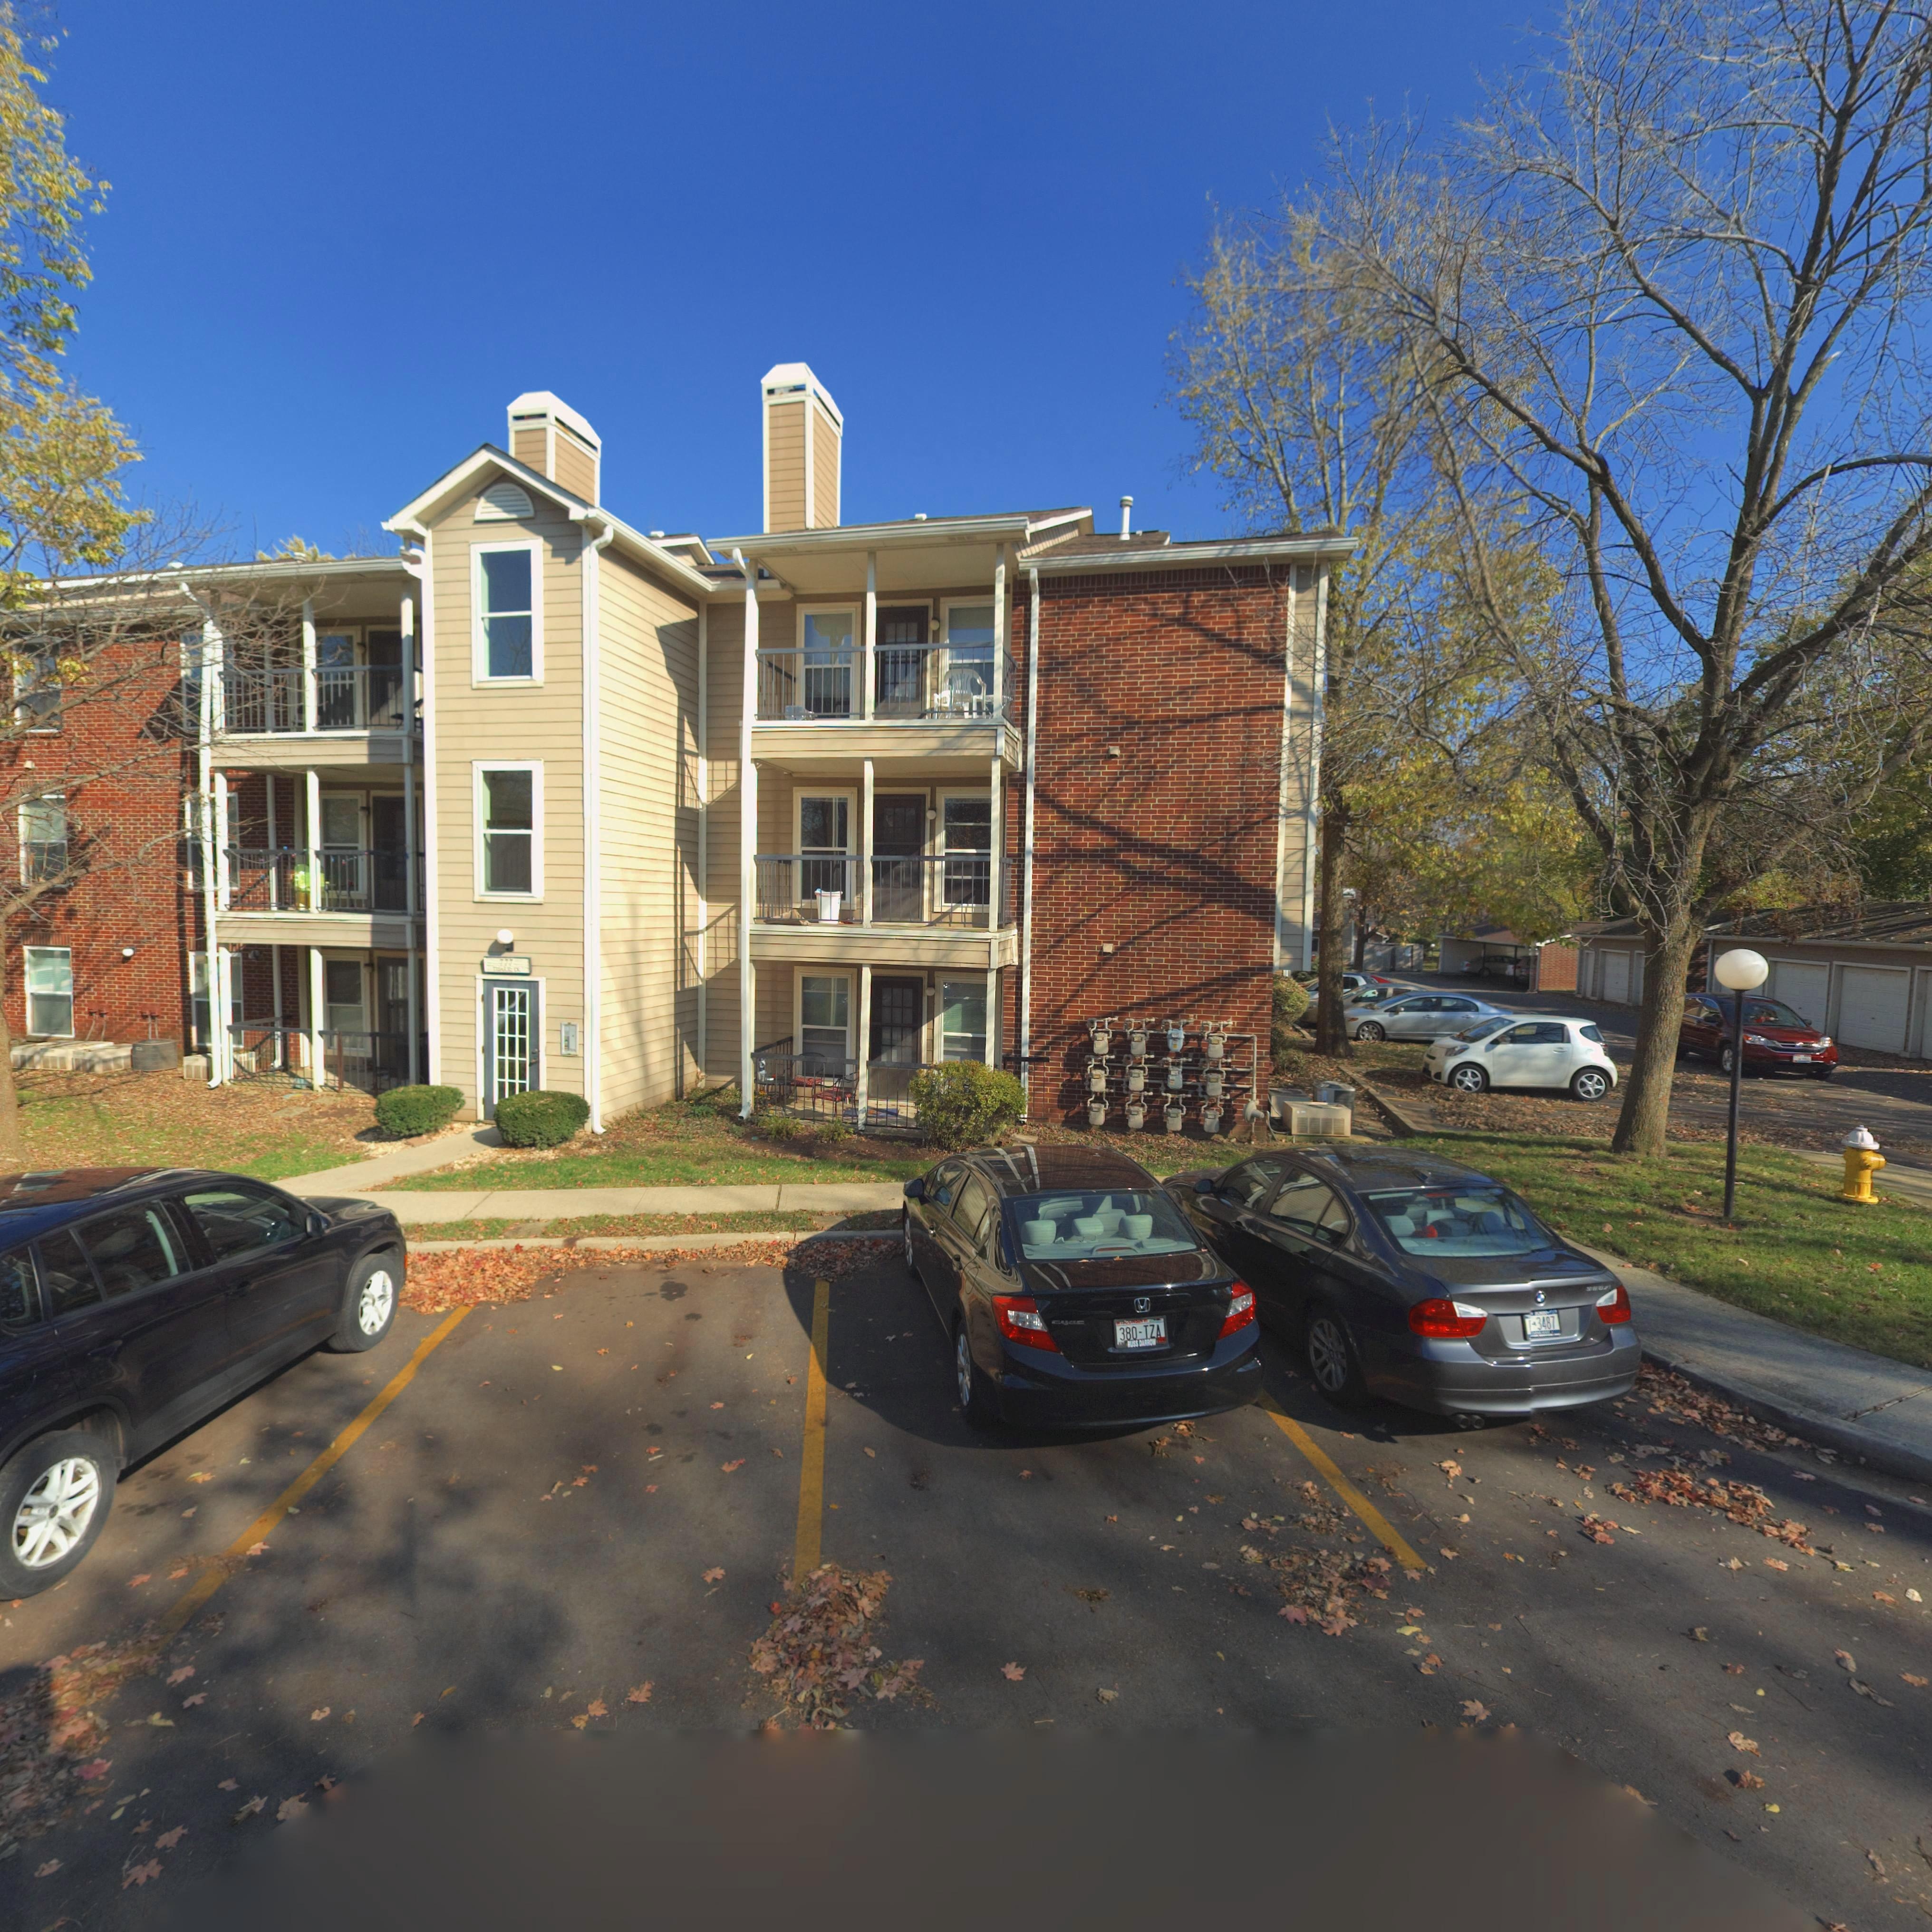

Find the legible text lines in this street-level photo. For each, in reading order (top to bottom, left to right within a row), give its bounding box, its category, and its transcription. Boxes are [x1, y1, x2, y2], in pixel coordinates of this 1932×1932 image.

[499, 957, 514, 967] StreetNumber: 777
[1050, 1319, 1062, 1325] None: C
[1535, 1314, 1555, 1331] None: 3487
[1118, 1322, 1163, 1342] None: 380-TZA